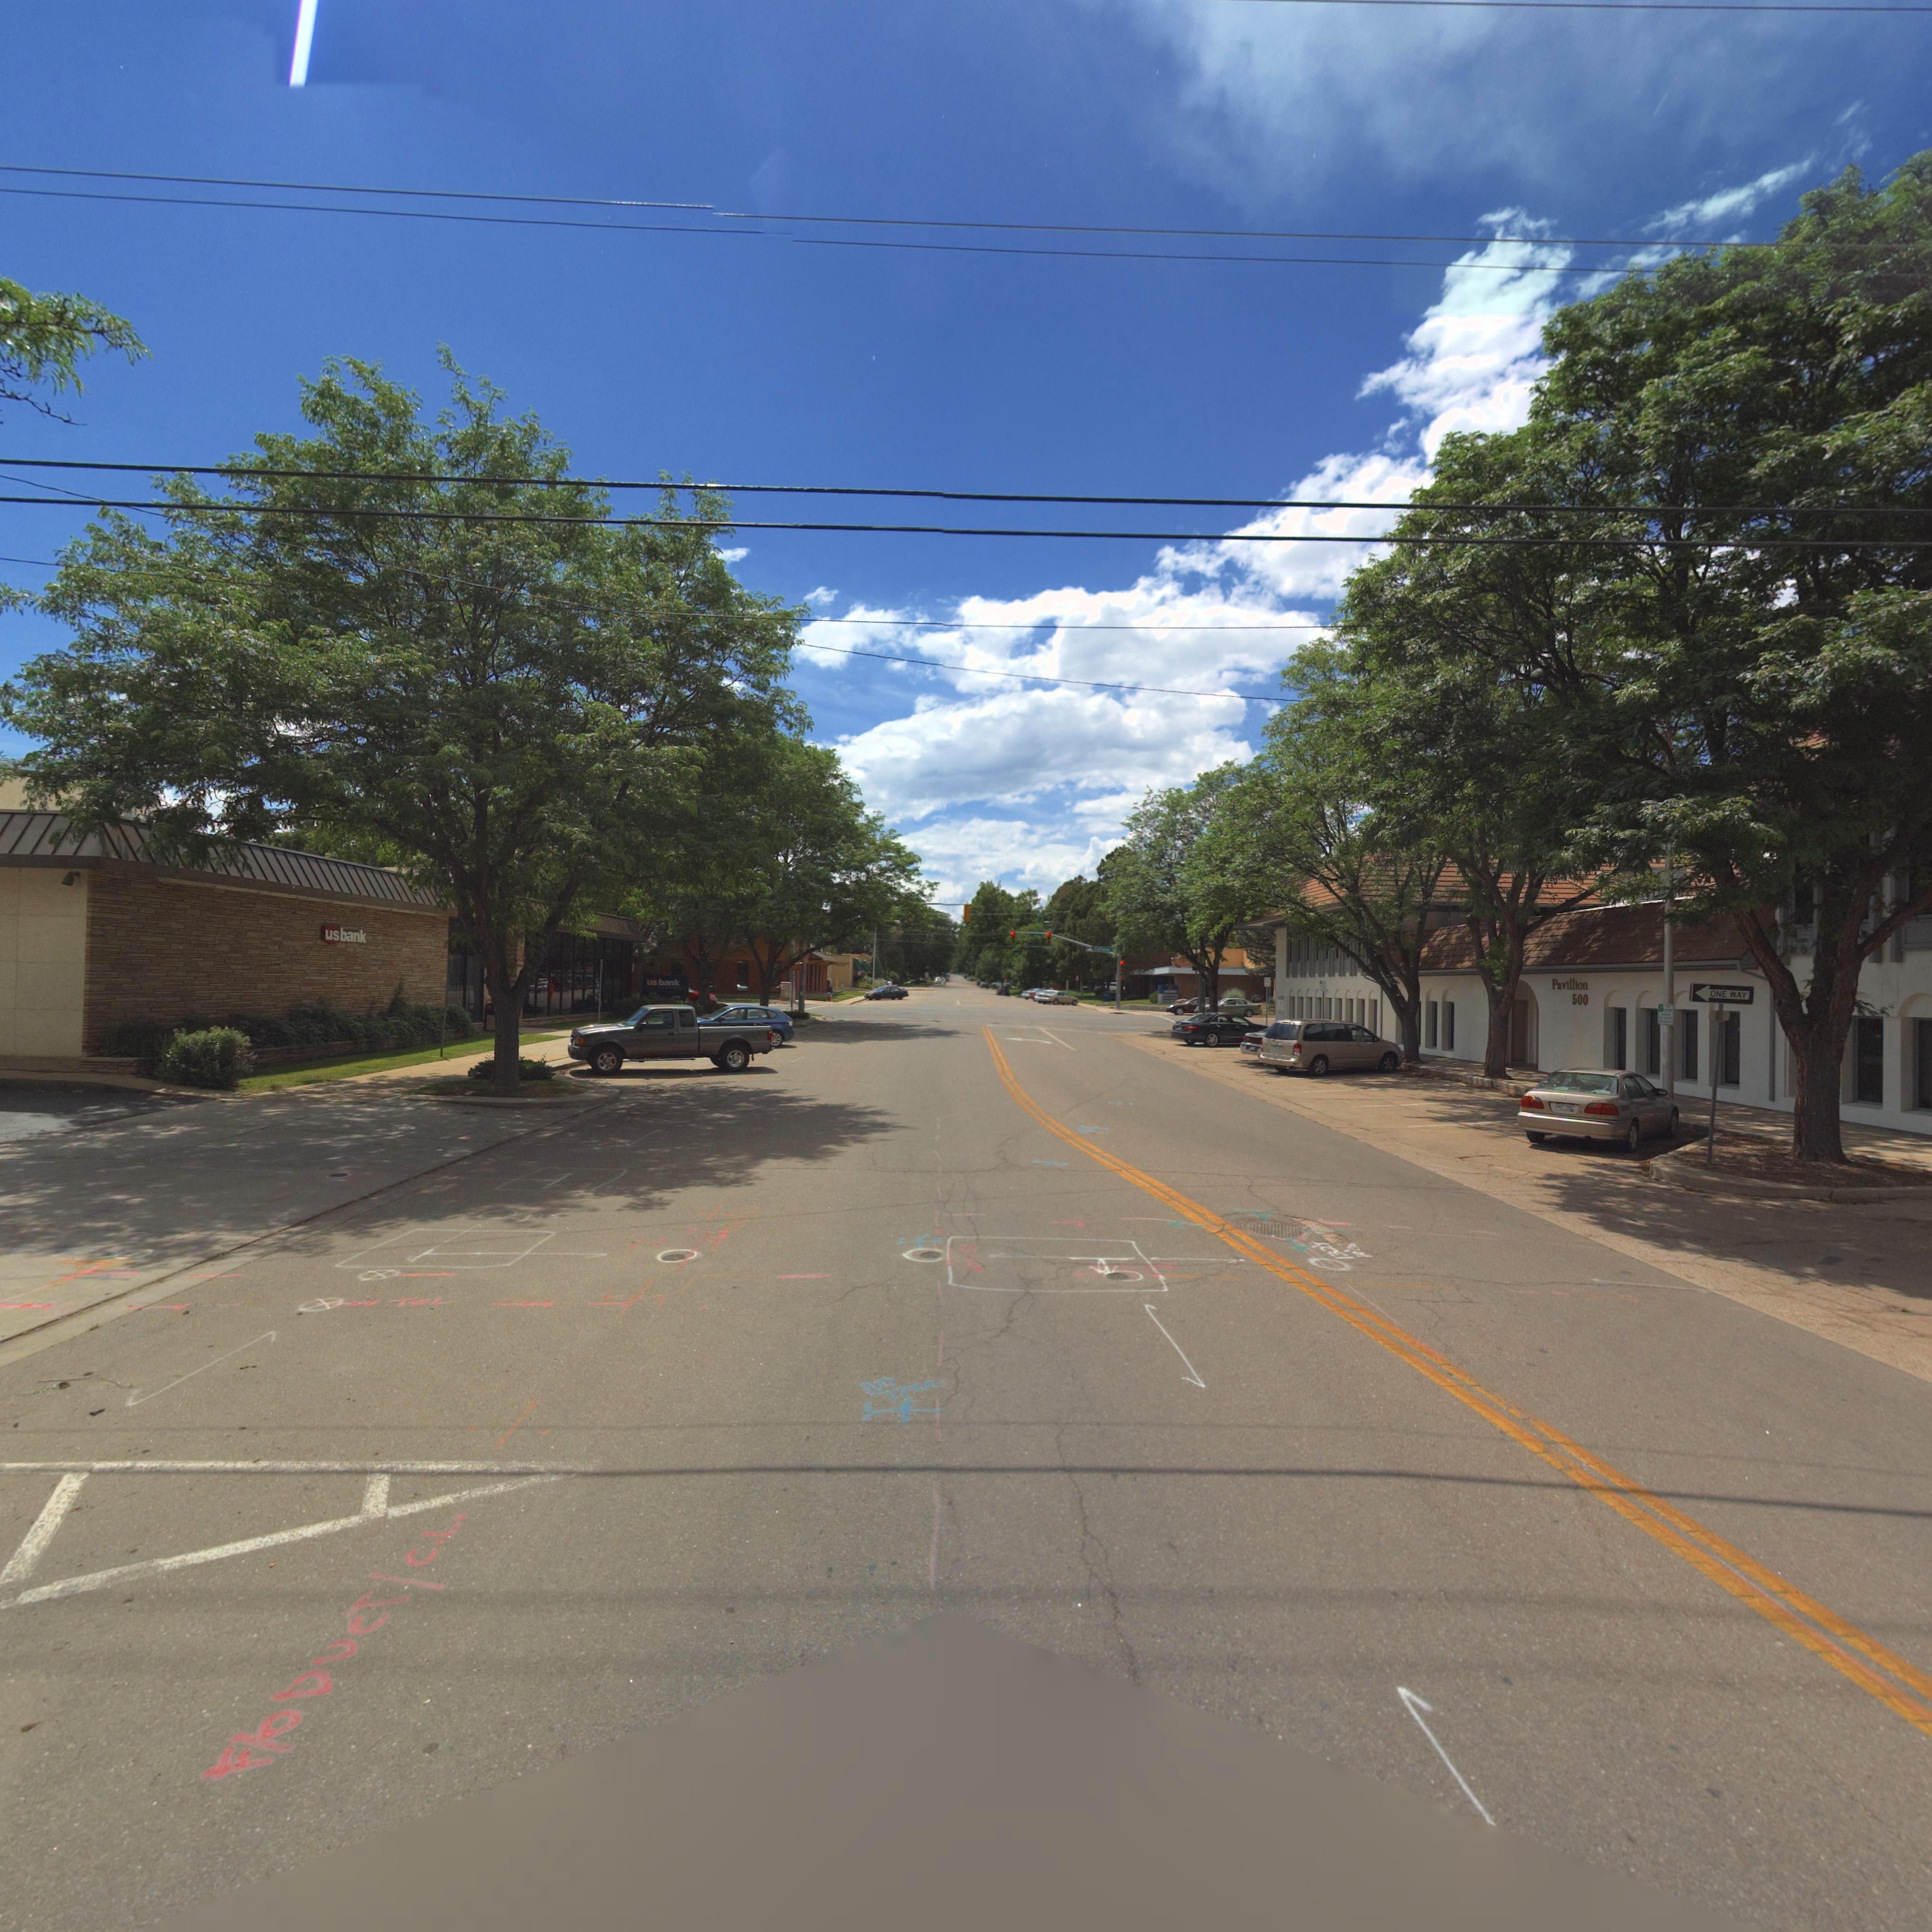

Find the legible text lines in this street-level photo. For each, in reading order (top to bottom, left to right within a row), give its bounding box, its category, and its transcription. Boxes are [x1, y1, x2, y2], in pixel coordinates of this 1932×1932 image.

[325, 927, 367, 943] BusinessName: usbank
[647, 978, 679, 985] BusinessName: us bank
[1572, 993, 1589, 1005] StreetNumber: 500